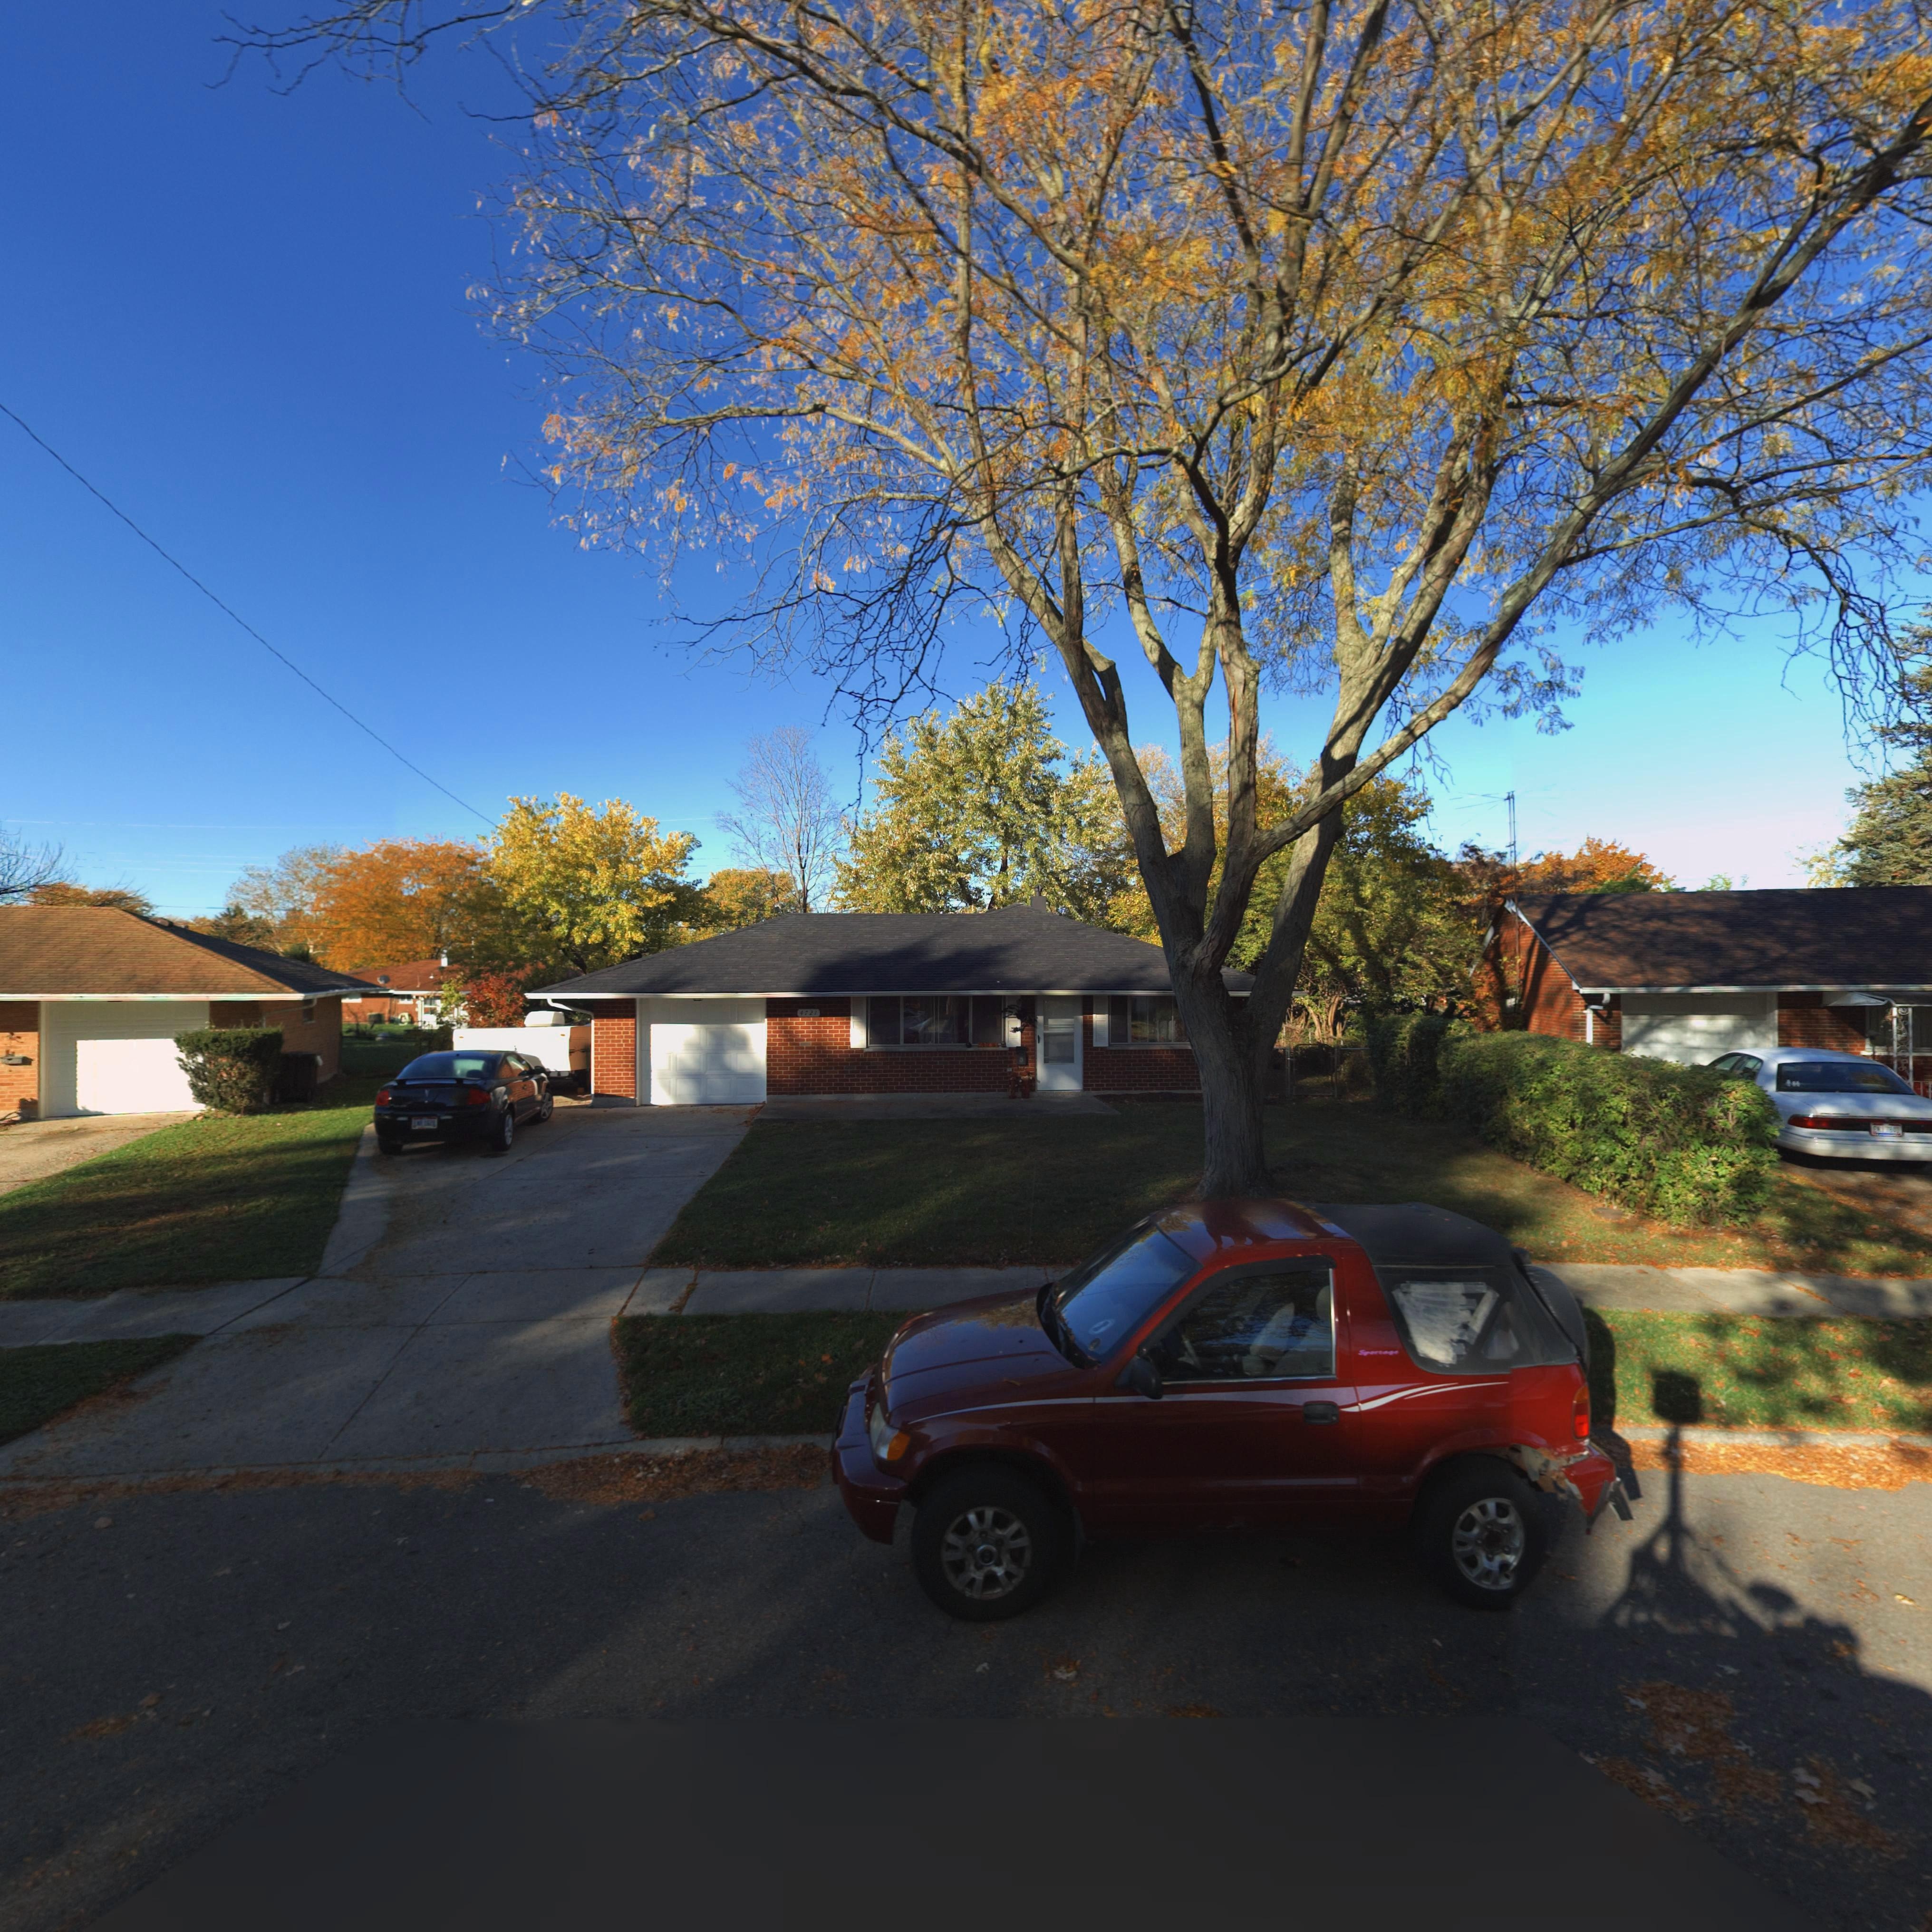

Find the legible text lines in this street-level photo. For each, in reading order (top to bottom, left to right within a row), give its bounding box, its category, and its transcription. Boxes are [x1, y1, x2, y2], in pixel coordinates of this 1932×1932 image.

[799, 1009, 818, 1016] StreetNumber: 4721